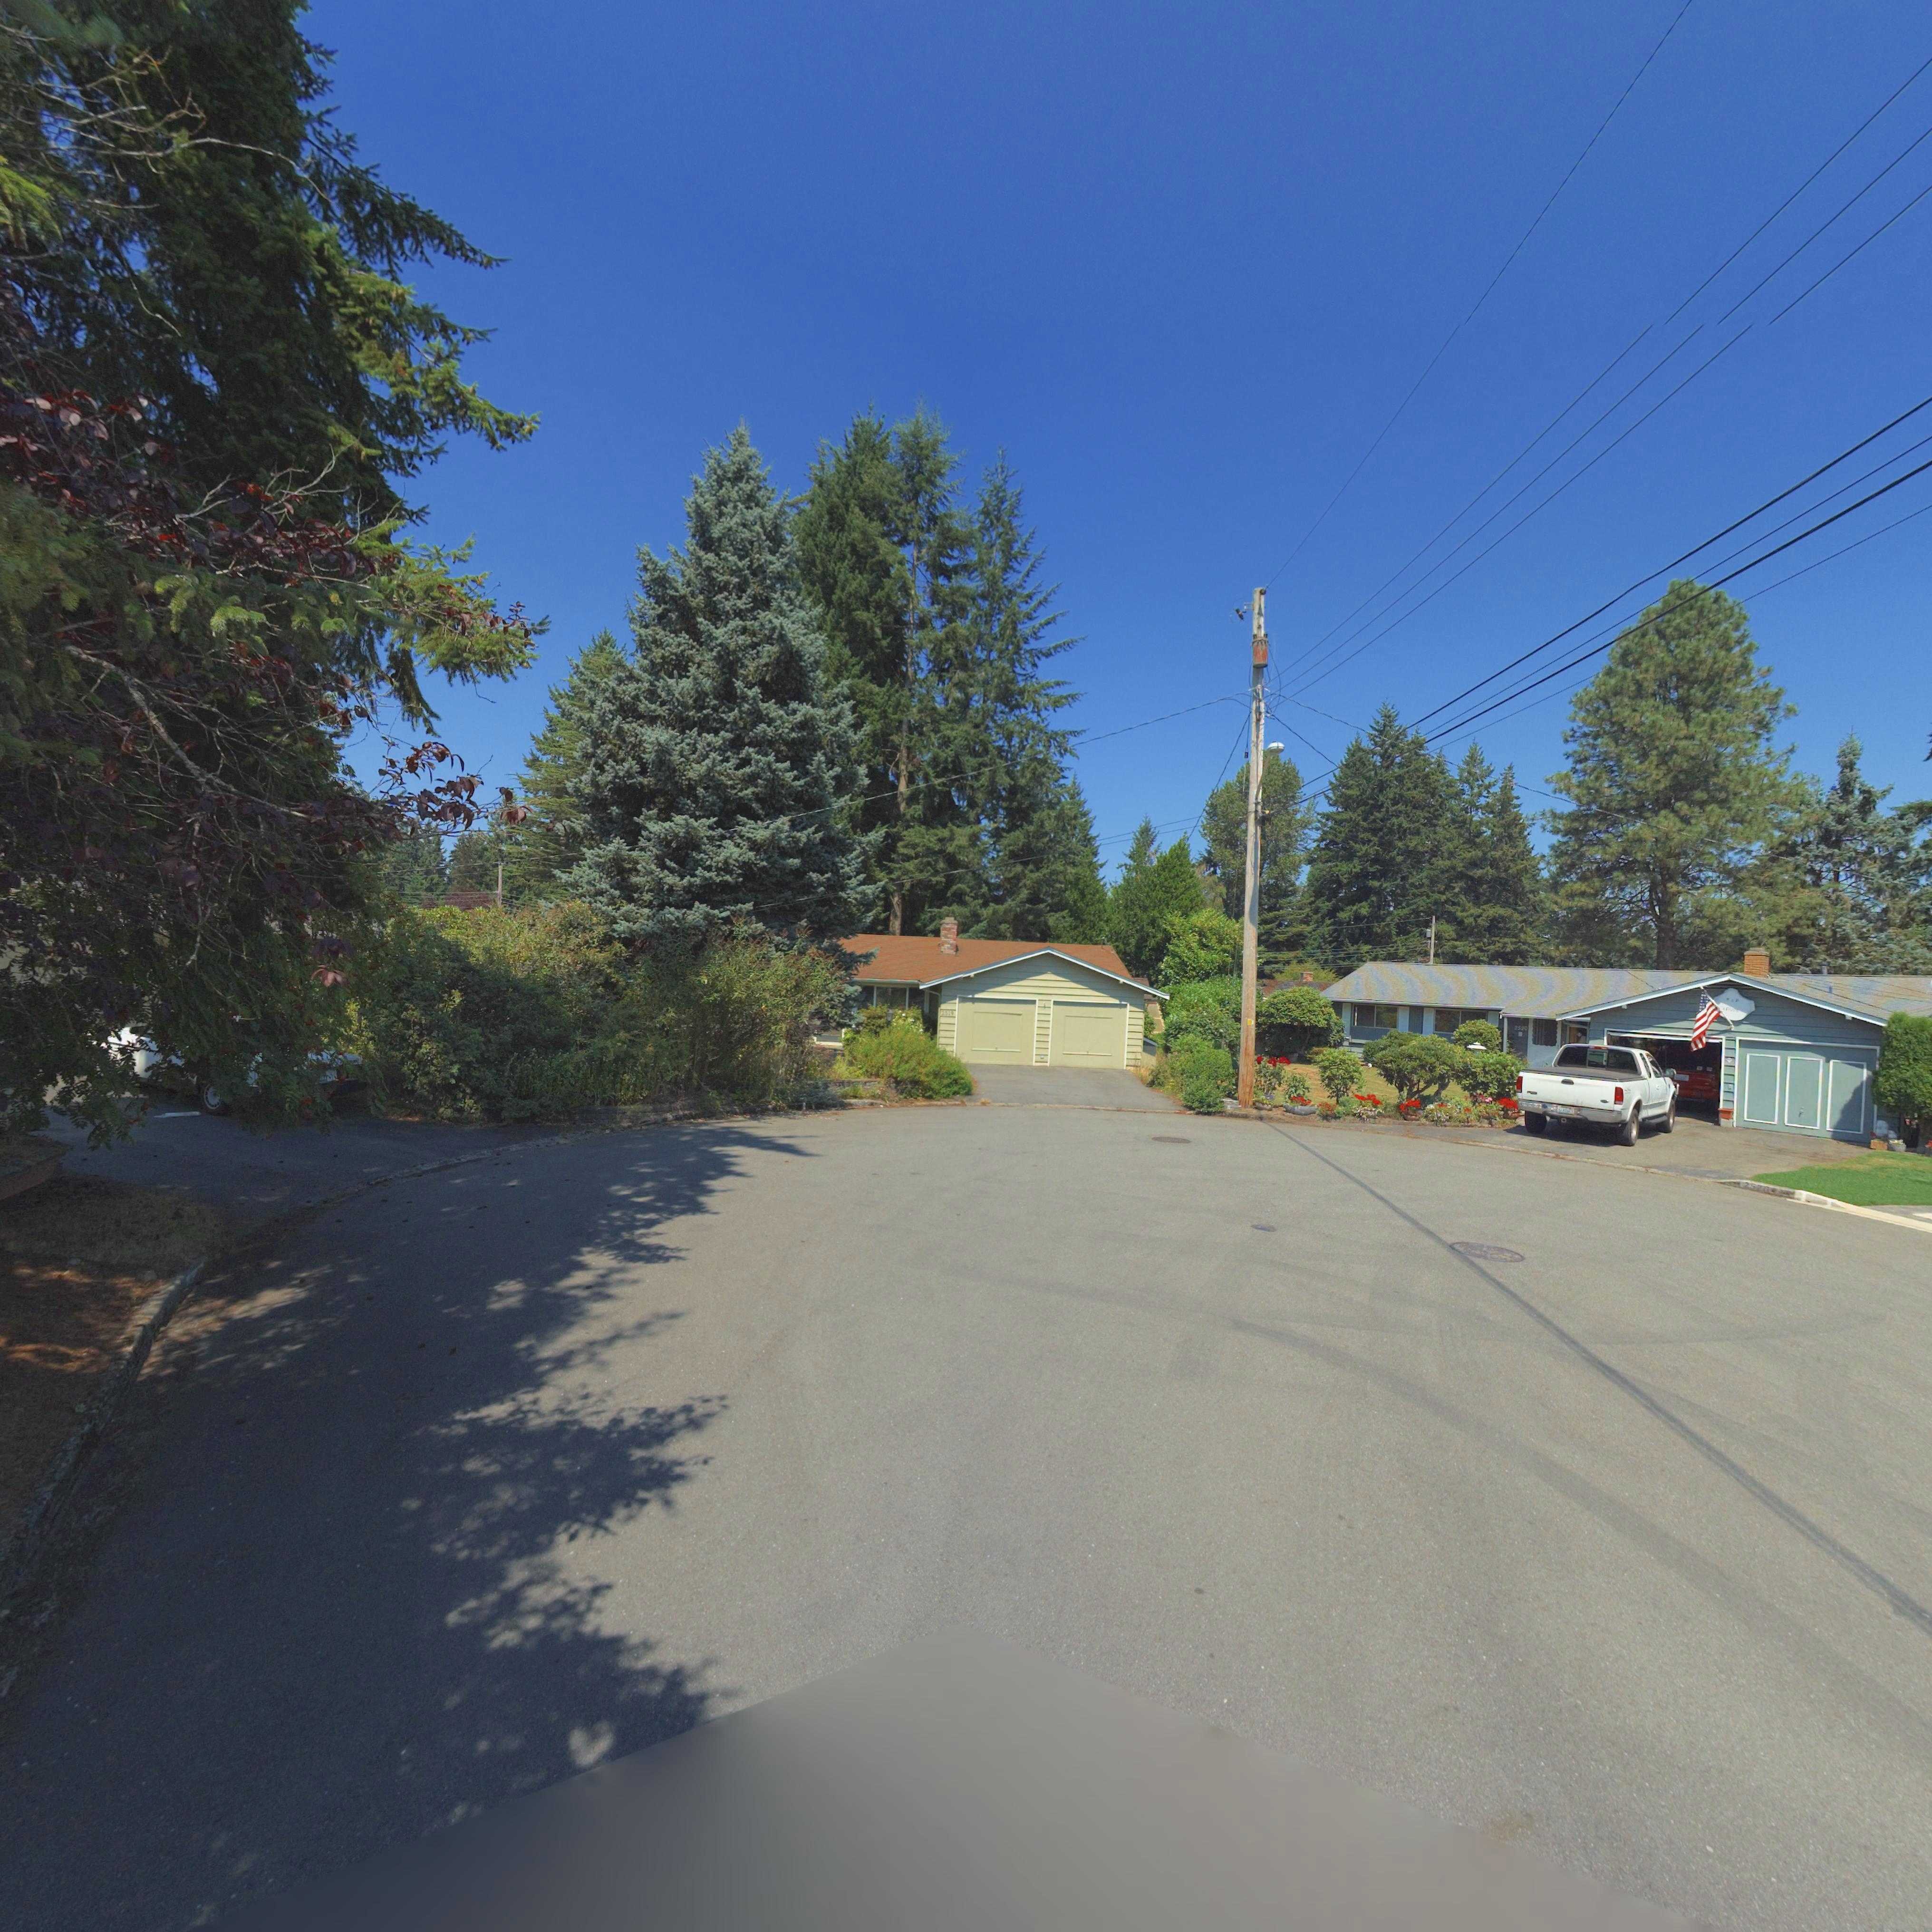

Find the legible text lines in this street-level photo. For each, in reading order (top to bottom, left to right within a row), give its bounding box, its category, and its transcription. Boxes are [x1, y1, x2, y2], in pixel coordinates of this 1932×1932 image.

[941, 1010, 954, 1015] StreetNumber: 2519